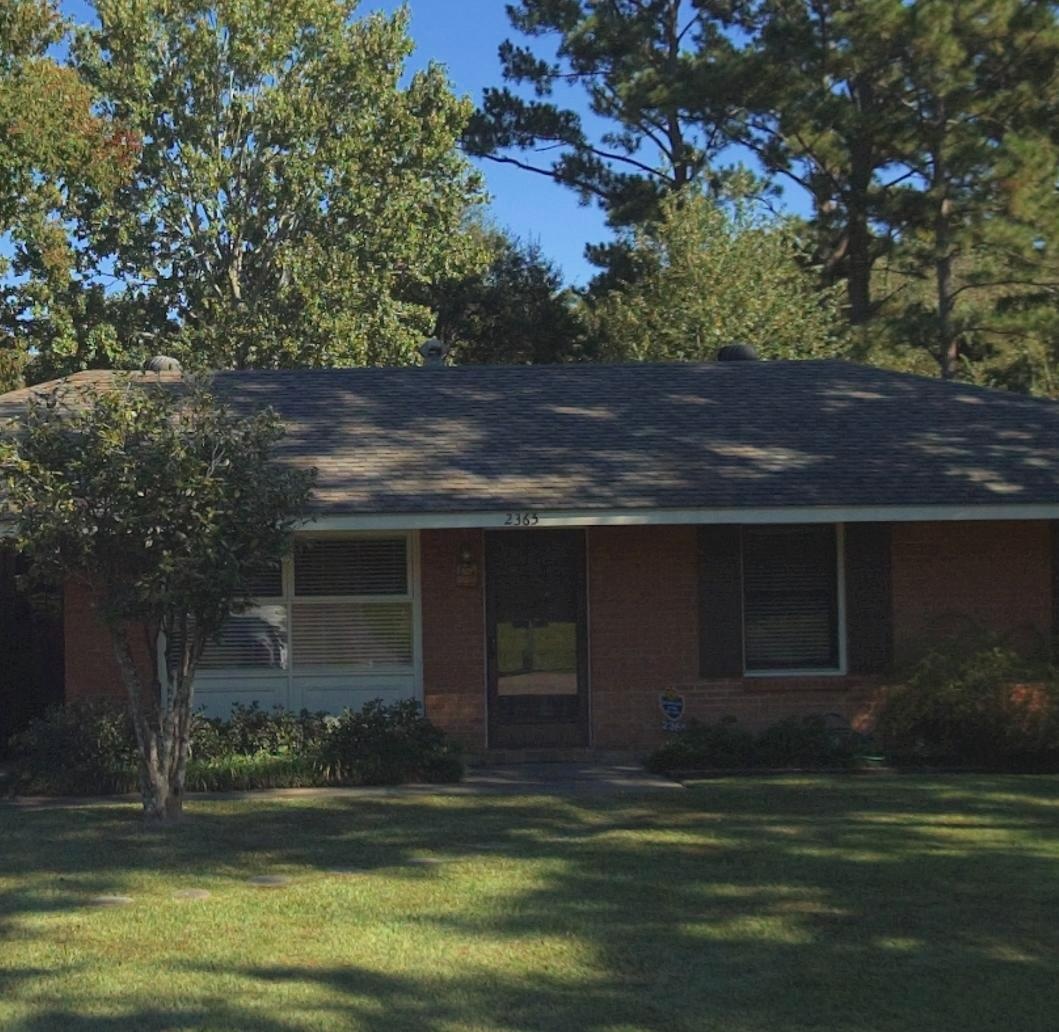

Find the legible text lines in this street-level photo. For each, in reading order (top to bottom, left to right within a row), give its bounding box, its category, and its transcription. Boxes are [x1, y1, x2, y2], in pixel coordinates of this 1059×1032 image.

[502, 510, 540, 527] StreetNumber: 2365
[660, 719, 690, 734] StreetNumber: 23**